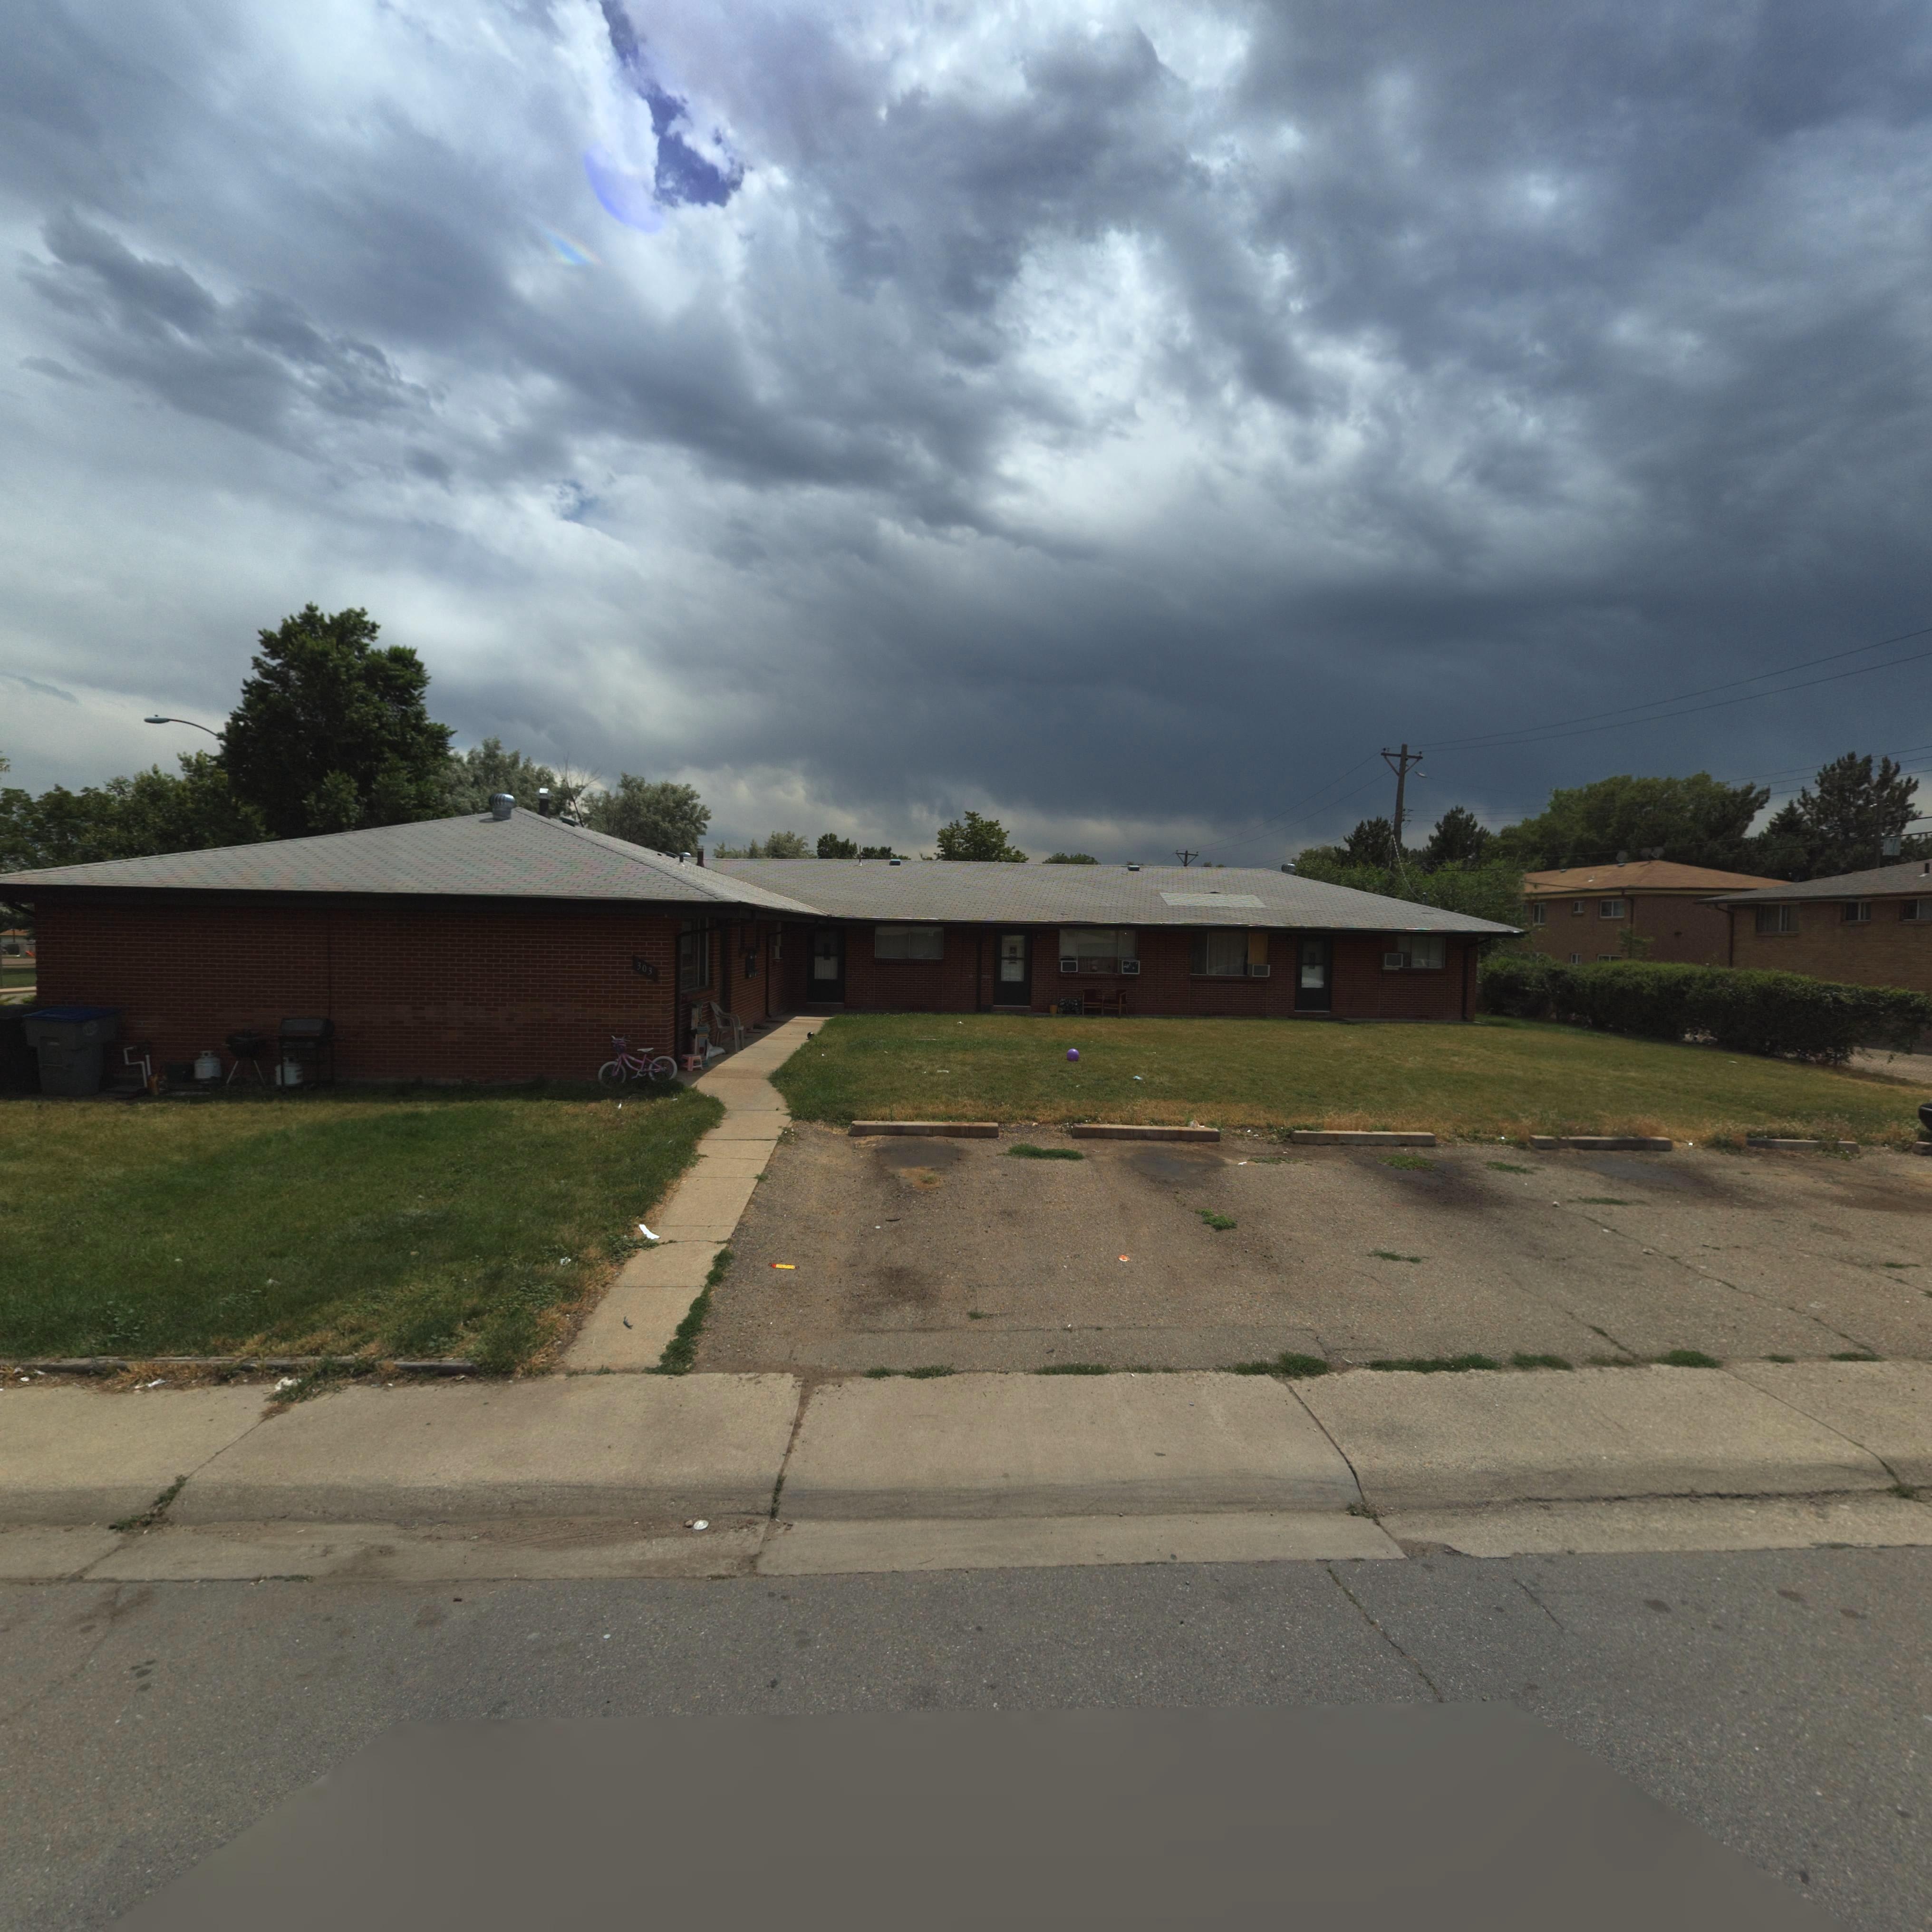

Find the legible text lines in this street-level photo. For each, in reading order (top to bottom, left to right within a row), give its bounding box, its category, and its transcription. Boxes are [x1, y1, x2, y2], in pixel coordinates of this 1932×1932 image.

[636, 961, 652, 976] StreetNumber: 303